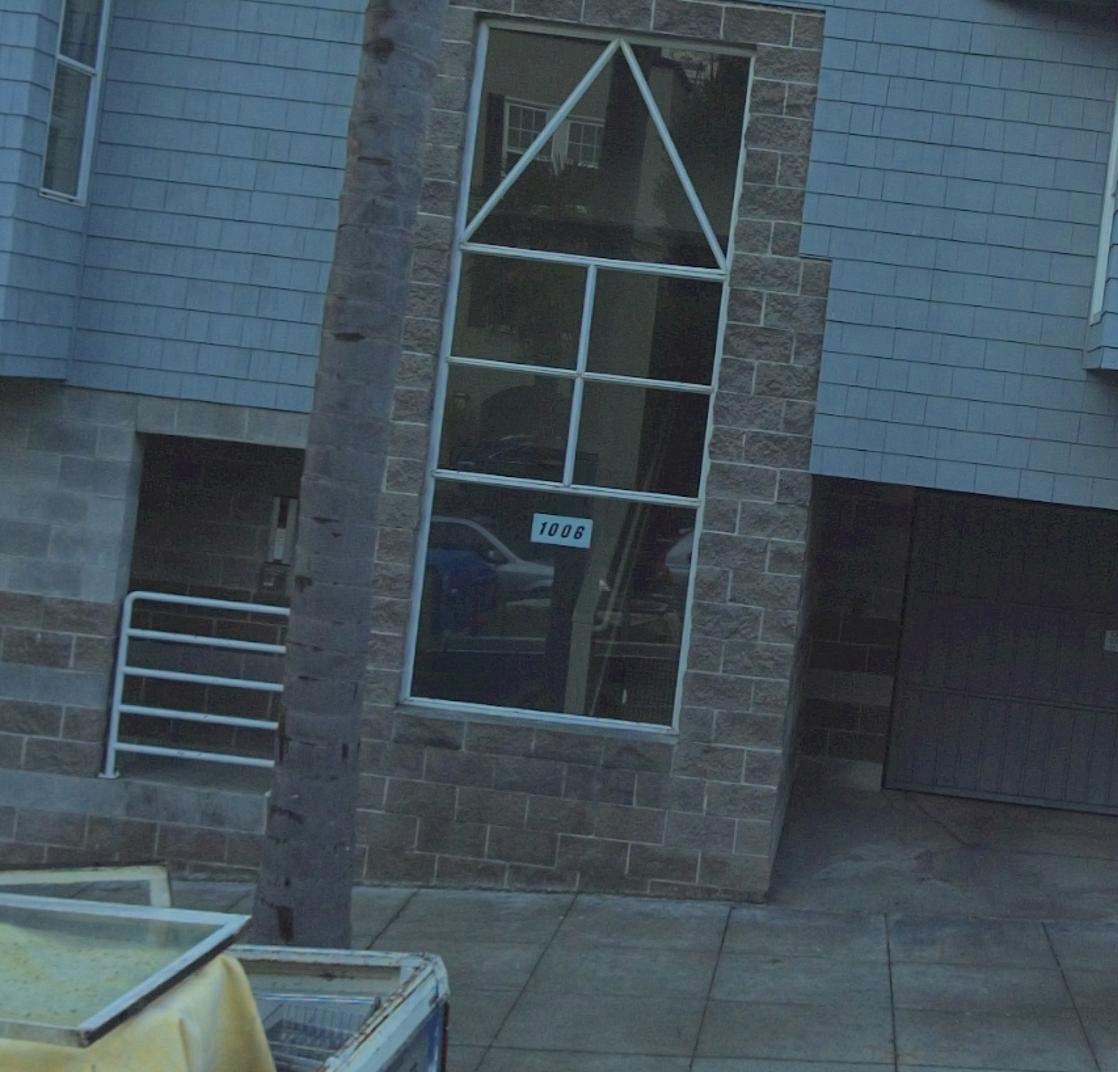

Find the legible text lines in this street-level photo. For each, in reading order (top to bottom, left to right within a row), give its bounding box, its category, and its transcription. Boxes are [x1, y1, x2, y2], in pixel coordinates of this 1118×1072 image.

[536, 518, 588, 542] StreetNumber: 1006